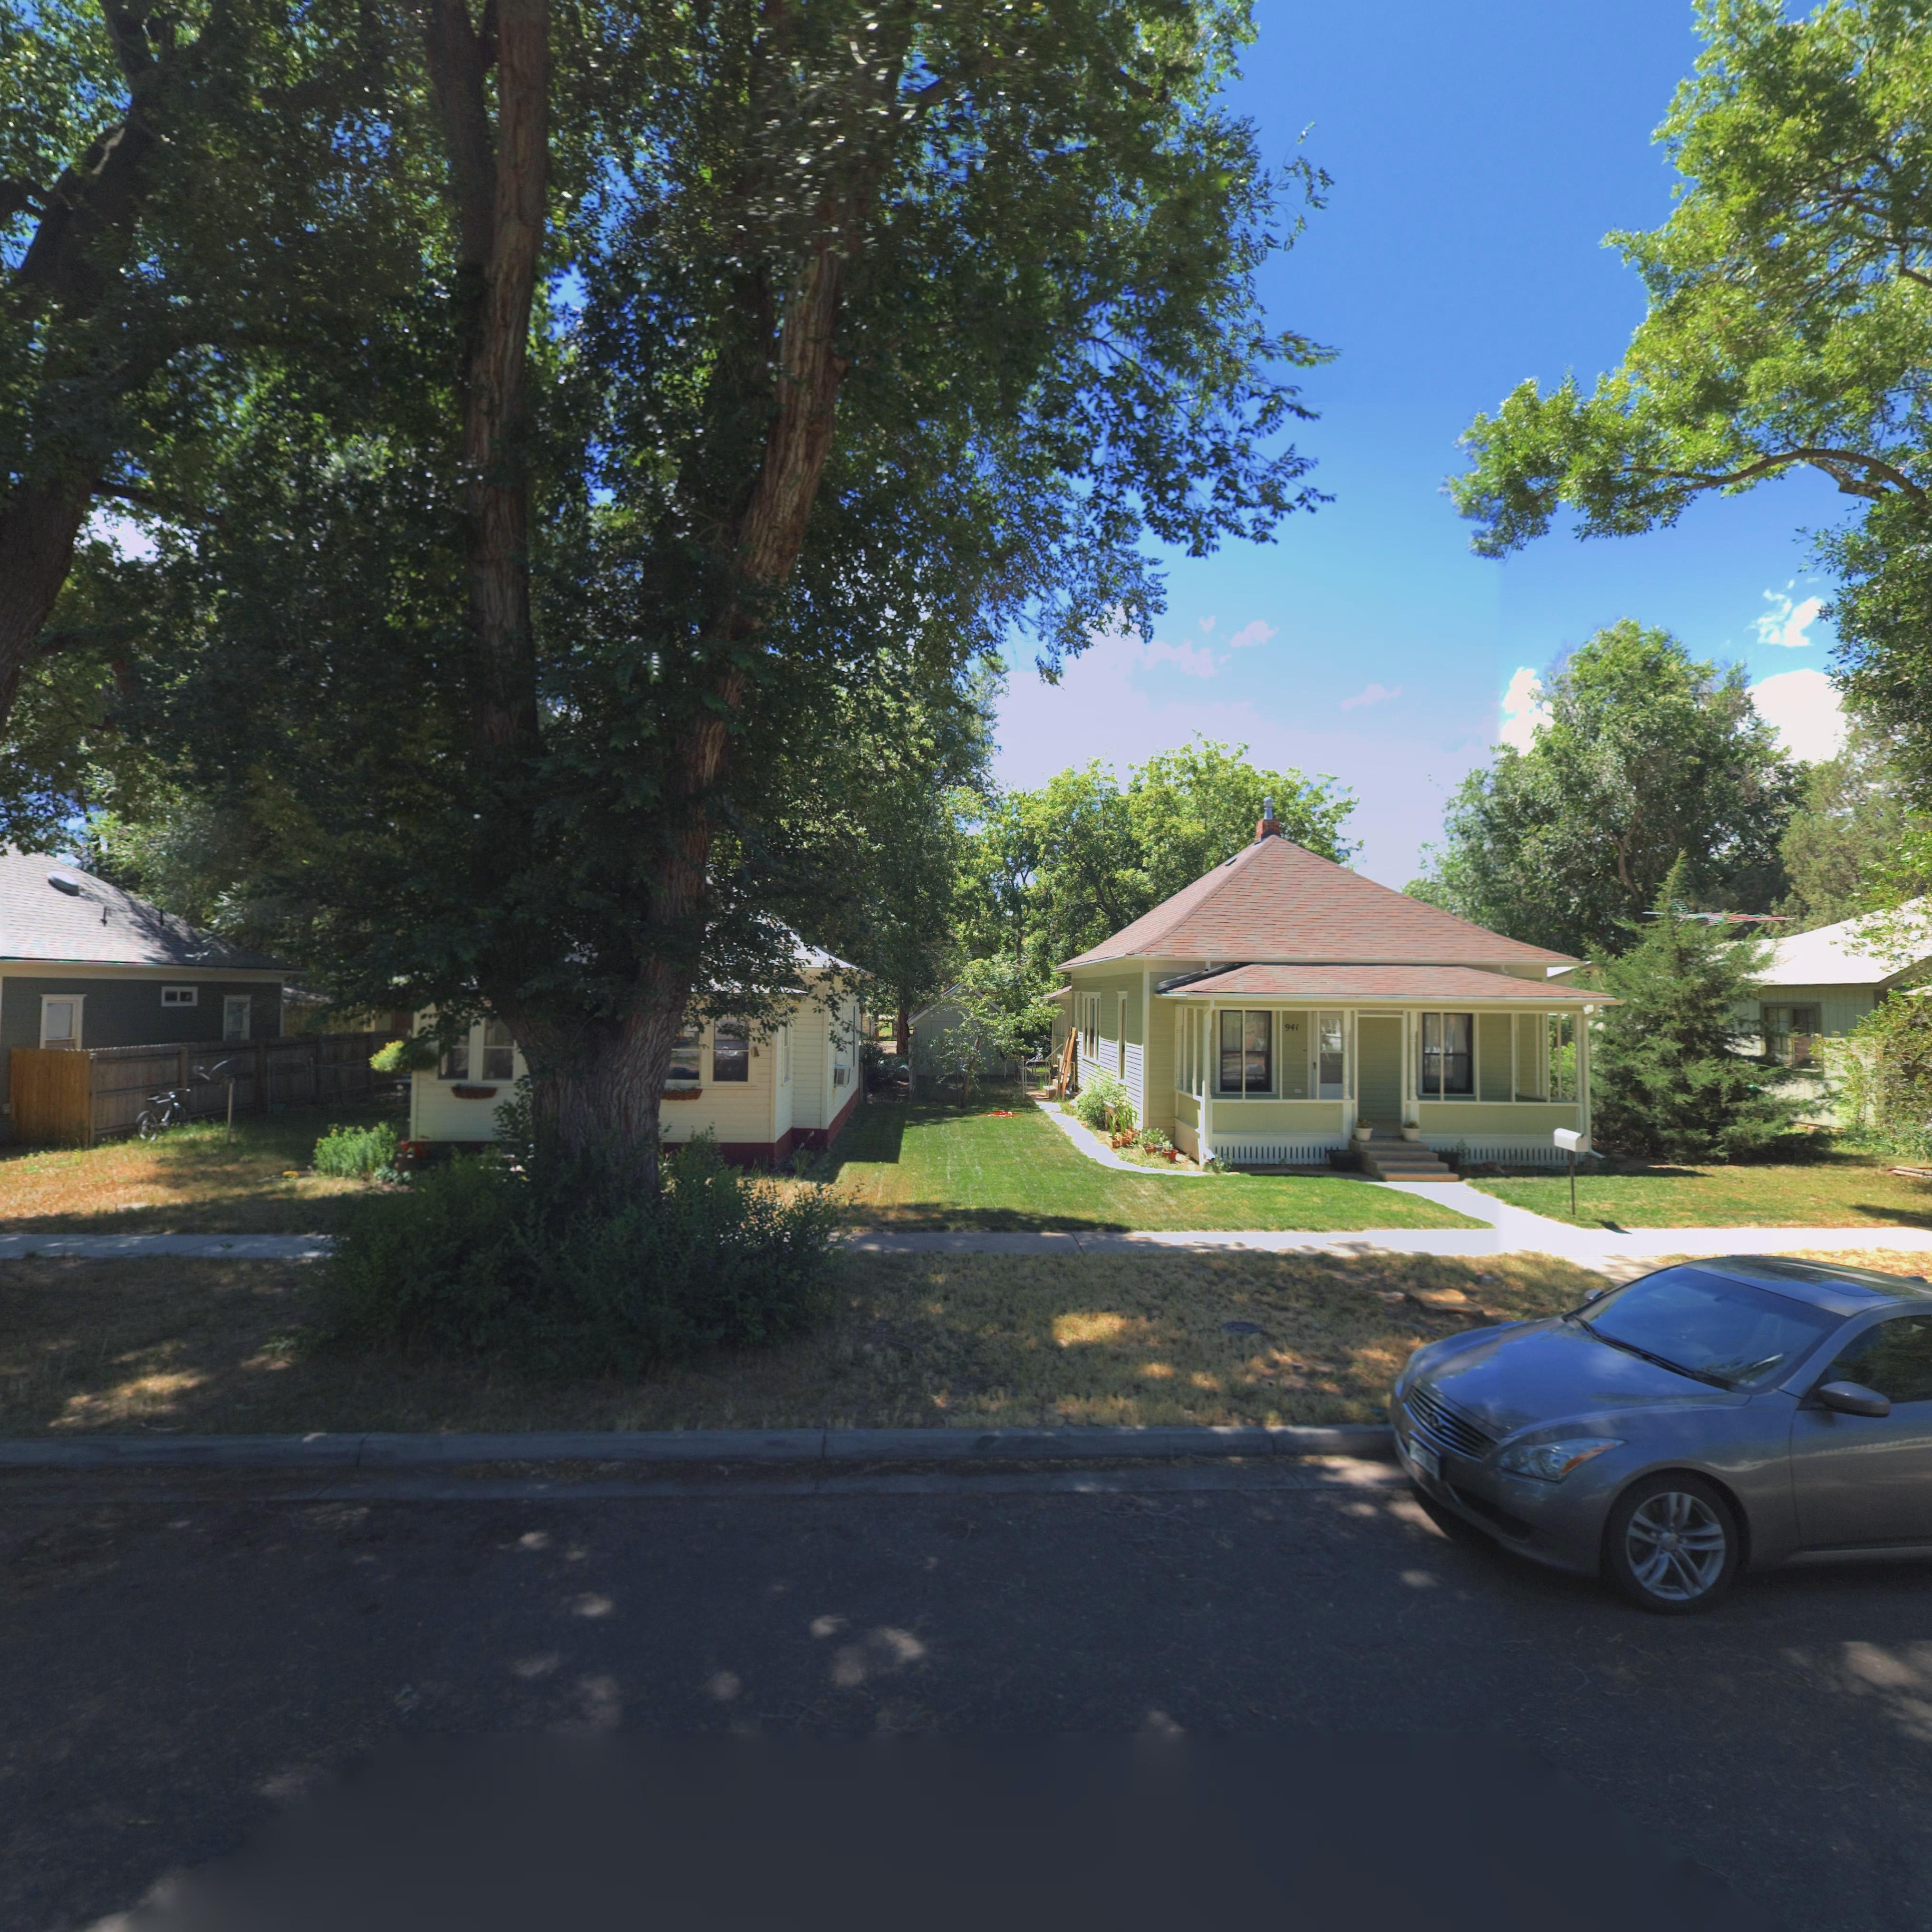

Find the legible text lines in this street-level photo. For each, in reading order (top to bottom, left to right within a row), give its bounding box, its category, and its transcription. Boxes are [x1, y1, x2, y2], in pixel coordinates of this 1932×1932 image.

[1284, 1024, 1299, 1032] StreetNumber: 941